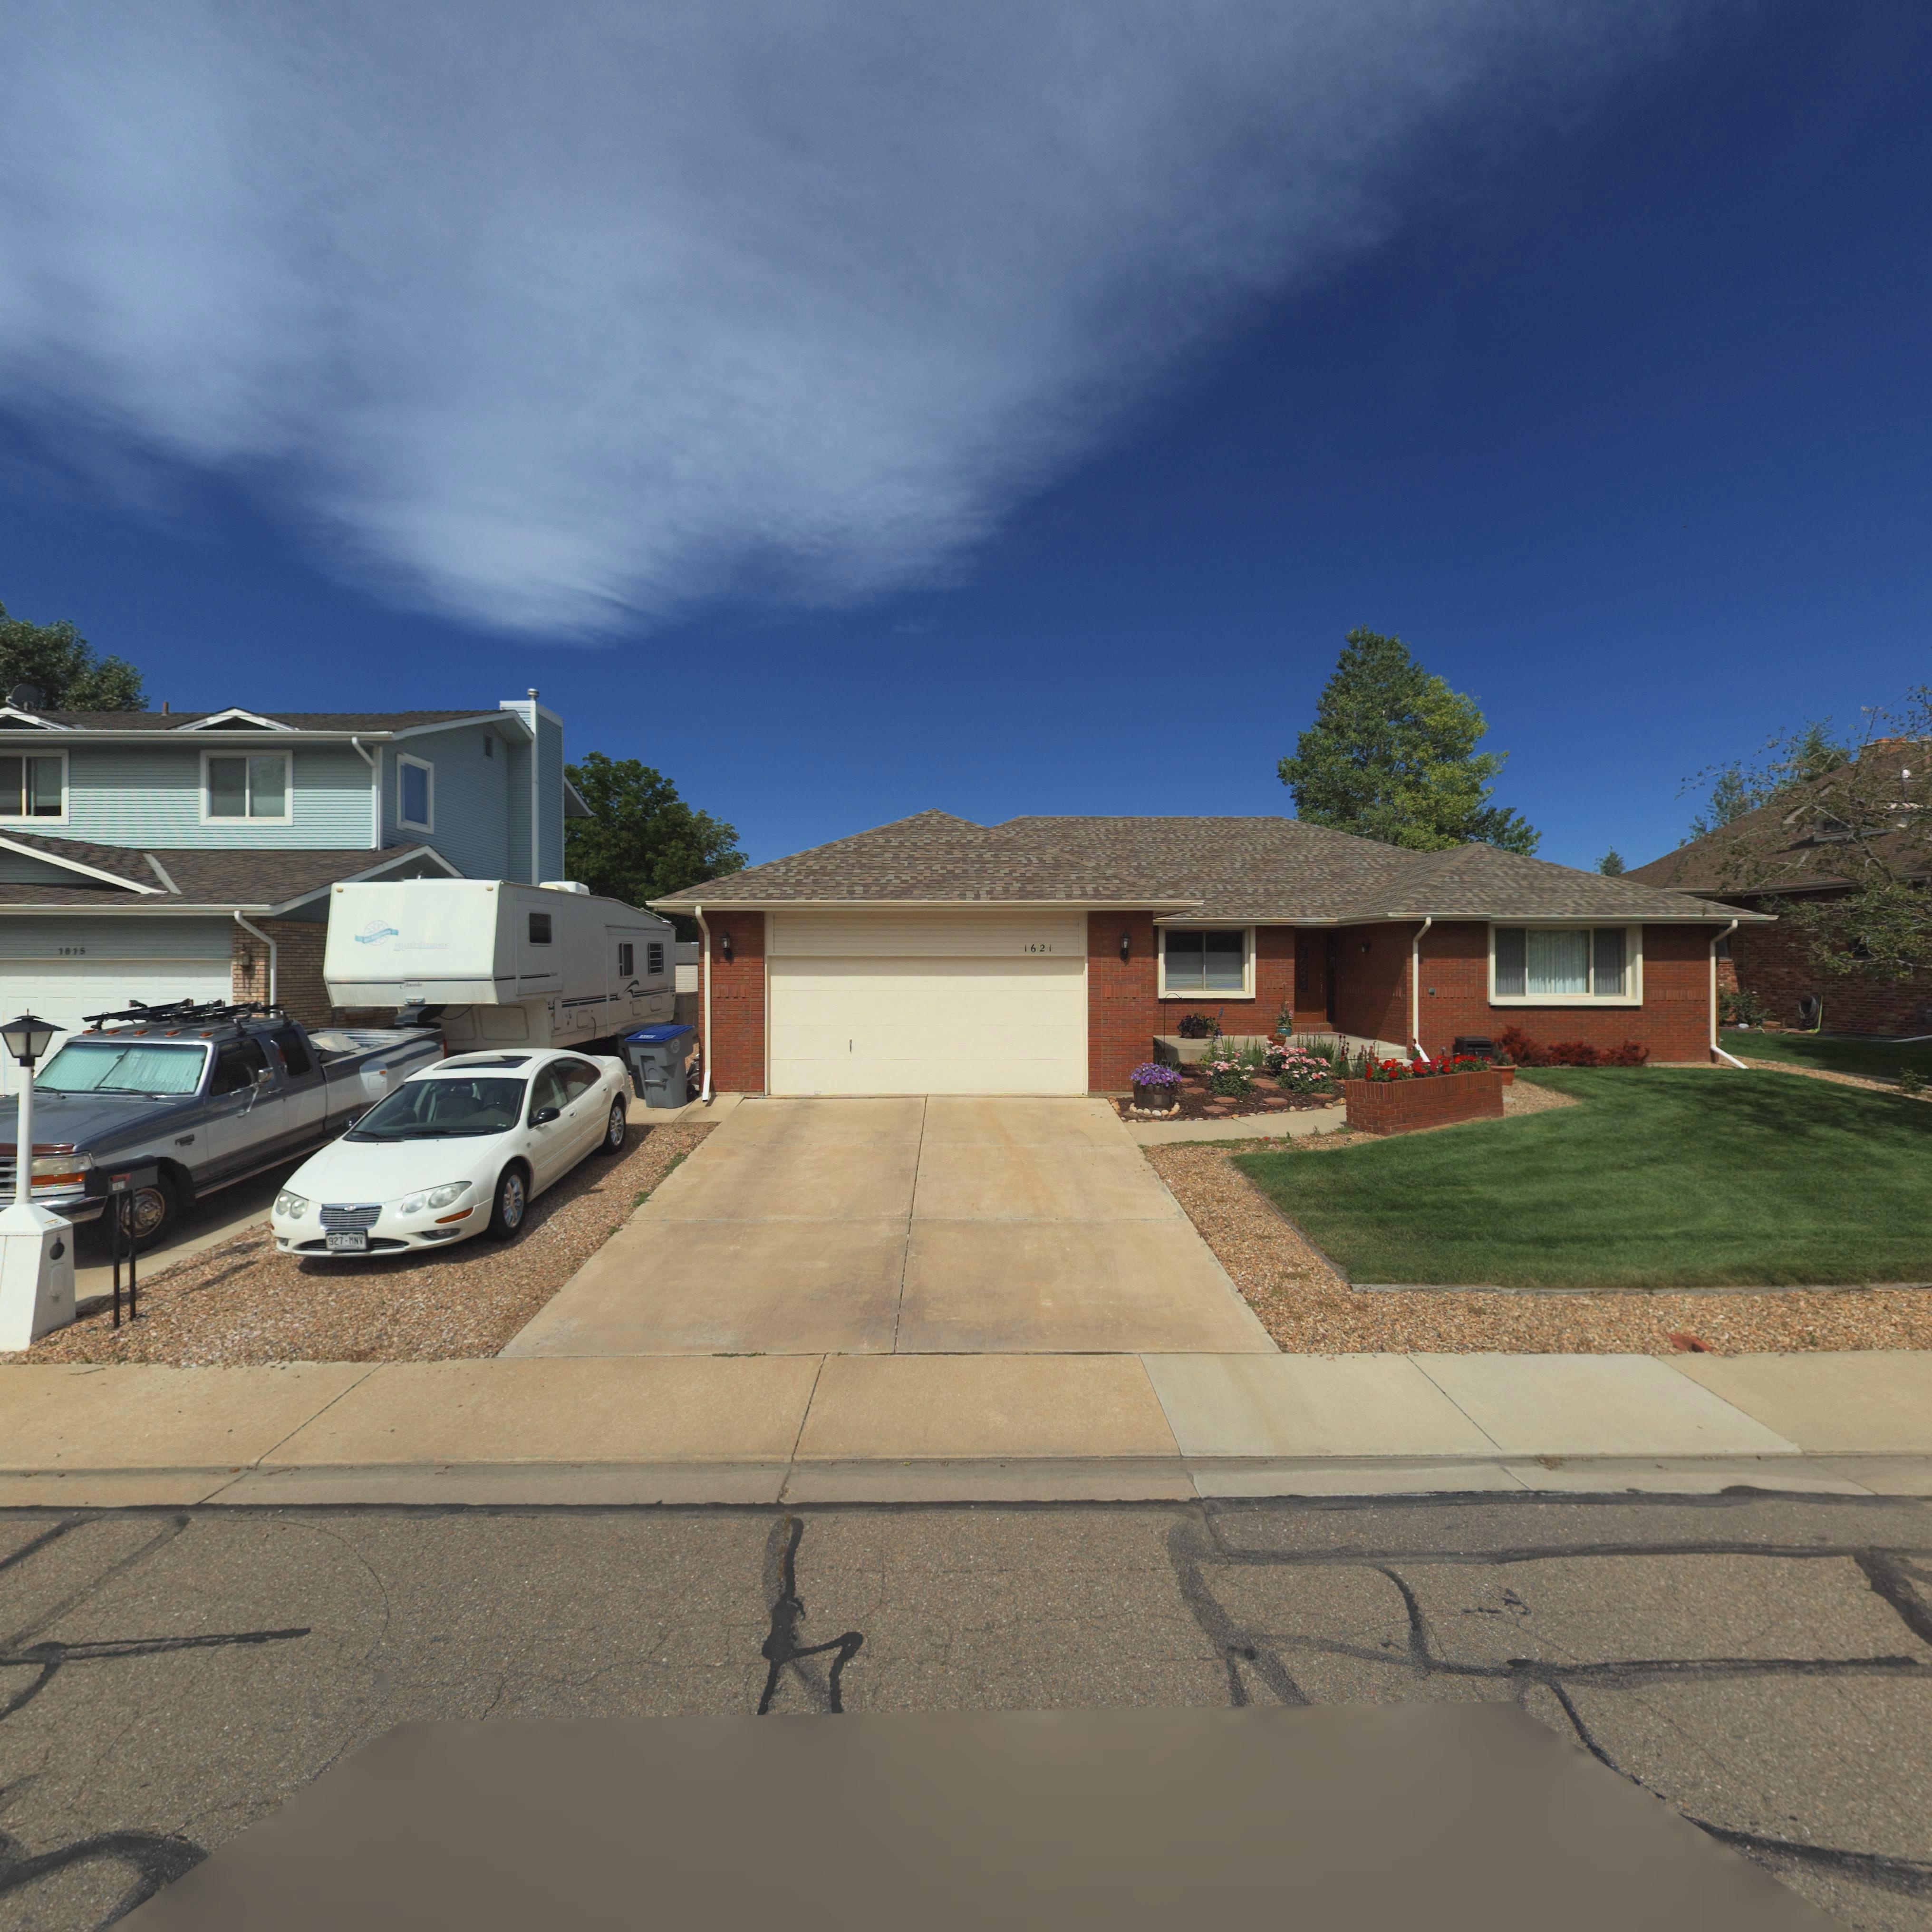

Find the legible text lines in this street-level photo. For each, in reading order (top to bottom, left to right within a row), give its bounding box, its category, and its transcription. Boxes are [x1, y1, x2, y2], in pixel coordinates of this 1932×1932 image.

[57, 947, 87, 956] StreetNumber: 1615
[1024, 943, 1052, 953] StreetNumber: 1621
[113, 1180, 125, 1191] StreetNumber: 1621